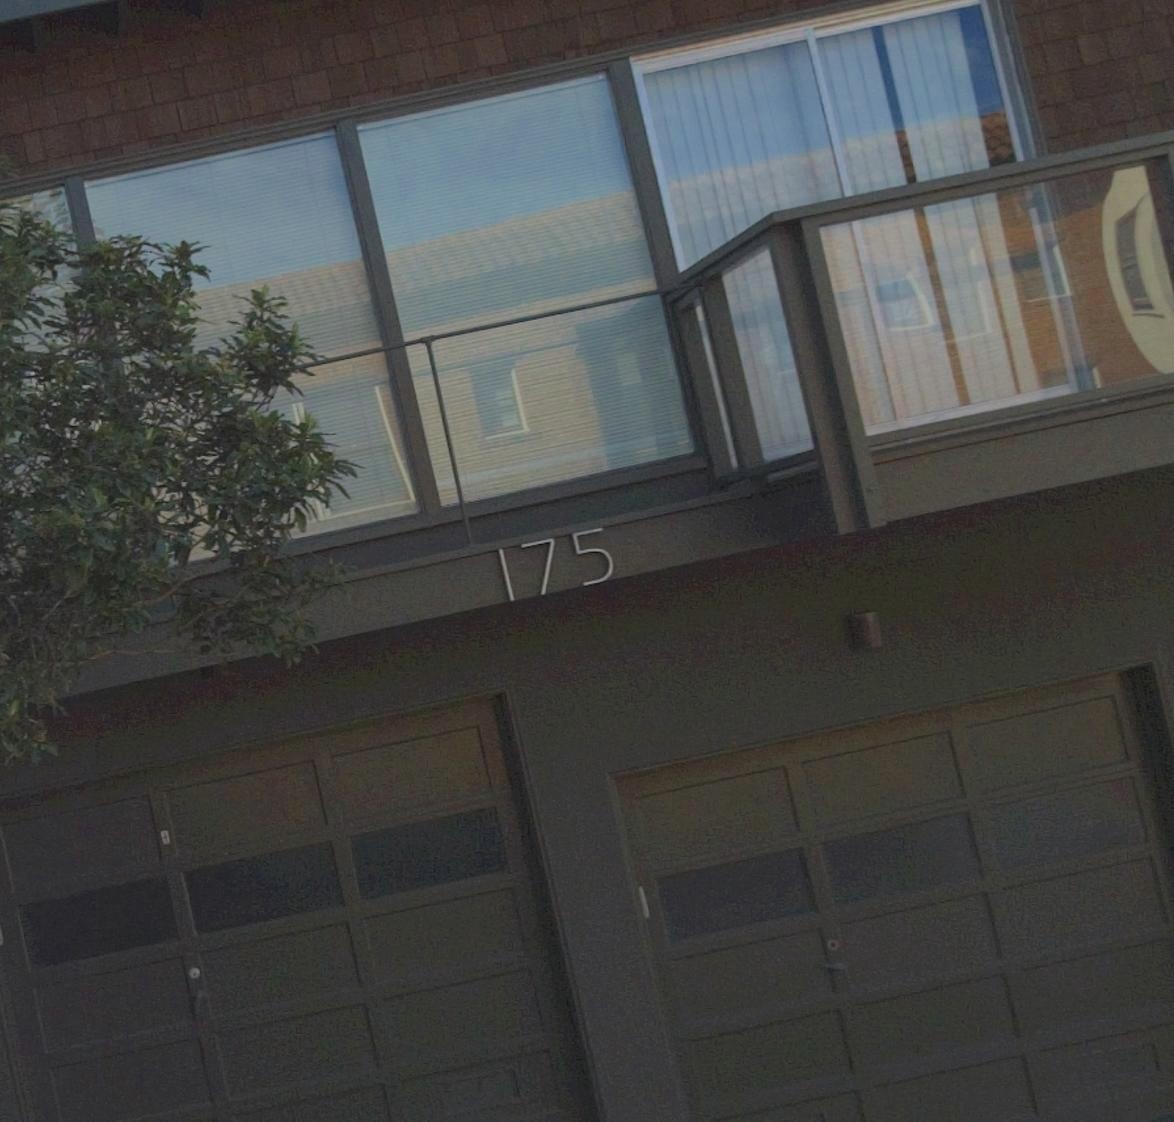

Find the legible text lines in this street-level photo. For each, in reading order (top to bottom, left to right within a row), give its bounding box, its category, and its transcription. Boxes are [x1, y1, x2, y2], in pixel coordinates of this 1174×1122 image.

[493, 524, 621, 607] StreetNumber: 175